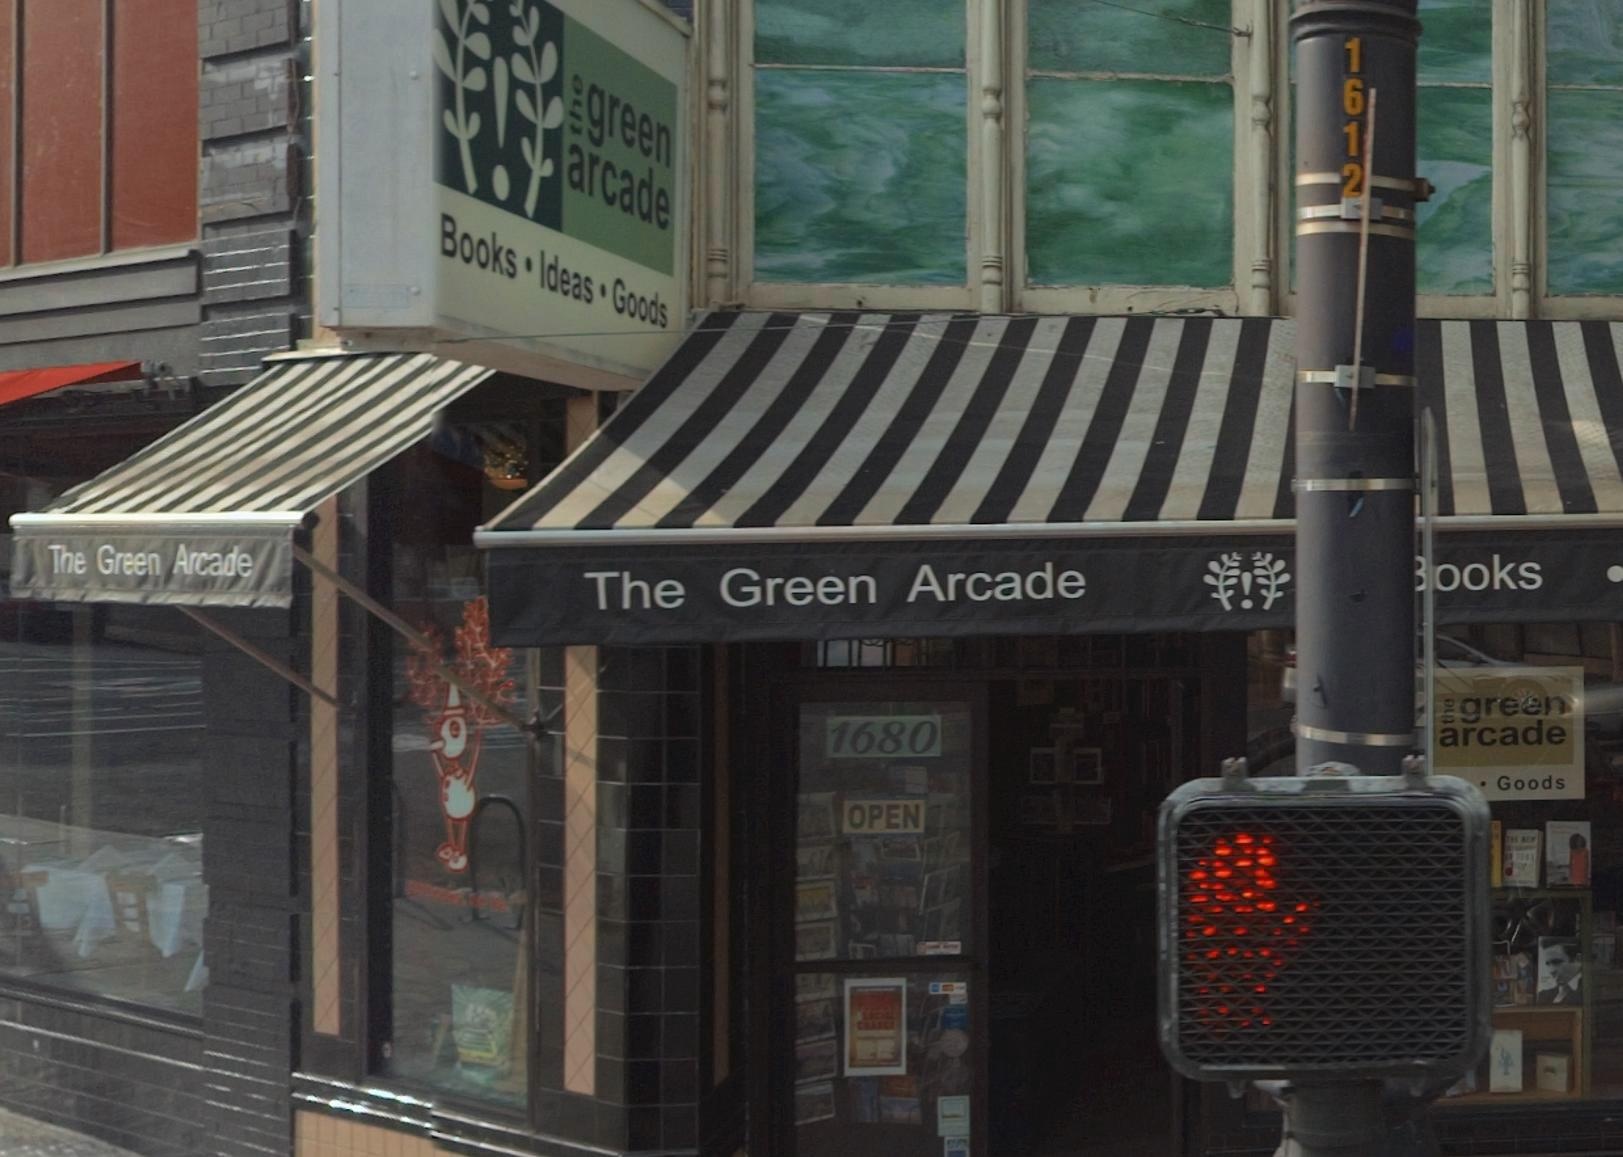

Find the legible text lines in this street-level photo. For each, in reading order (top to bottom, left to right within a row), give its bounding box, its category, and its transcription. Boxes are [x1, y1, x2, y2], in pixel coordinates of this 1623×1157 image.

[565, 70, 588, 141] None: the
[585, 74, 675, 174] None: green
[564, 137, 673, 236] None: arcade
[438, 206, 672, 334] None: Books * Ideas * Goods
[44, 539, 255, 580] None: The Green Arcade
[580, 557, 1091, 615] BusinessName: The Green Arcade
[1433, 550, 1547, 595] None: ooks
[1439, 695, 1457, 727] None: the
[1456, 691, 1568, 727] None: green
[829, 717, 941, 757] None: 1680
[1436, 716, 1569, 751] None: arcade
[1495, 771, 1568, 793] None: Goods
[844, 800, 923, 833] None: OPEN